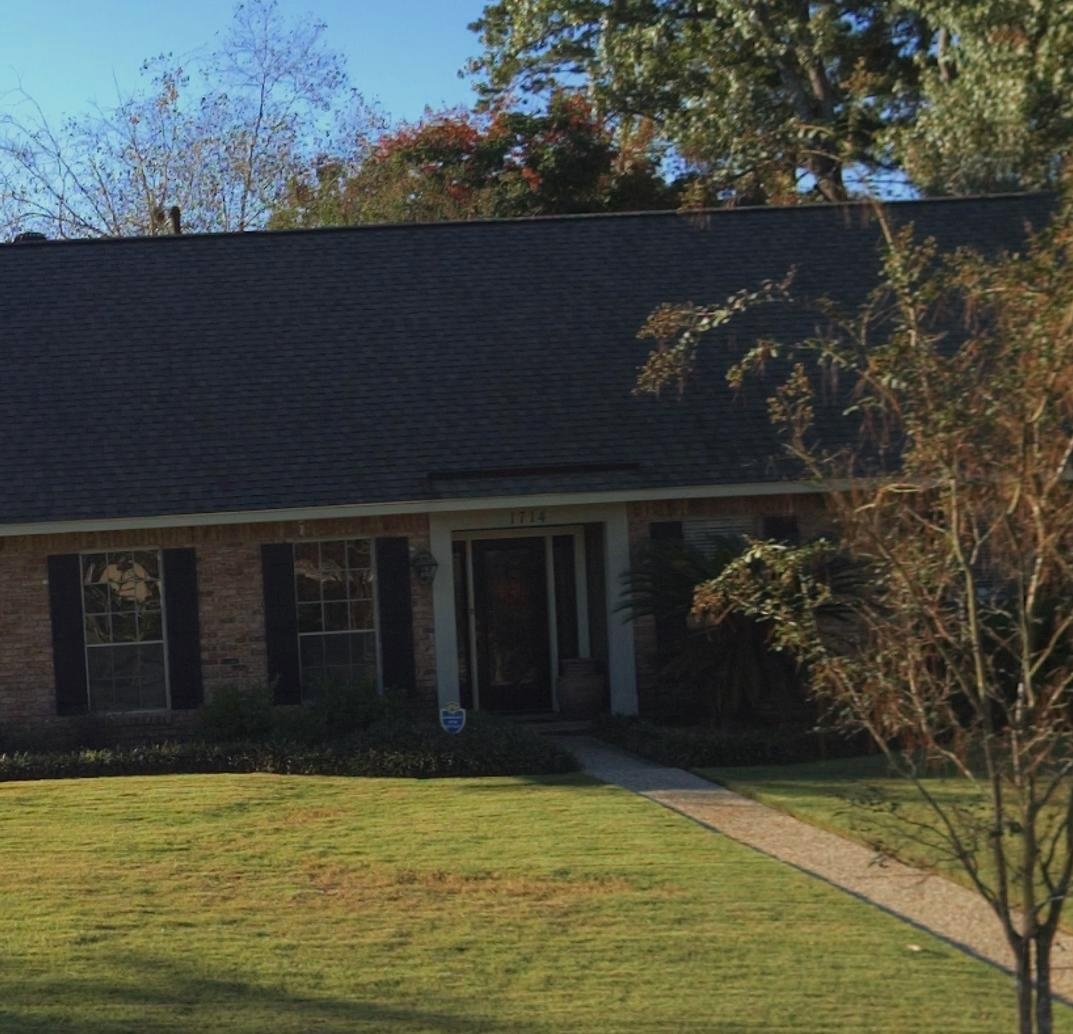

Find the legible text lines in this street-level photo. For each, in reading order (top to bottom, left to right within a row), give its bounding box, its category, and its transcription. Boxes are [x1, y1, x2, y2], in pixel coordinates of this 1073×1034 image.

[507, 509, 548, 526] StreetNumber: 1714